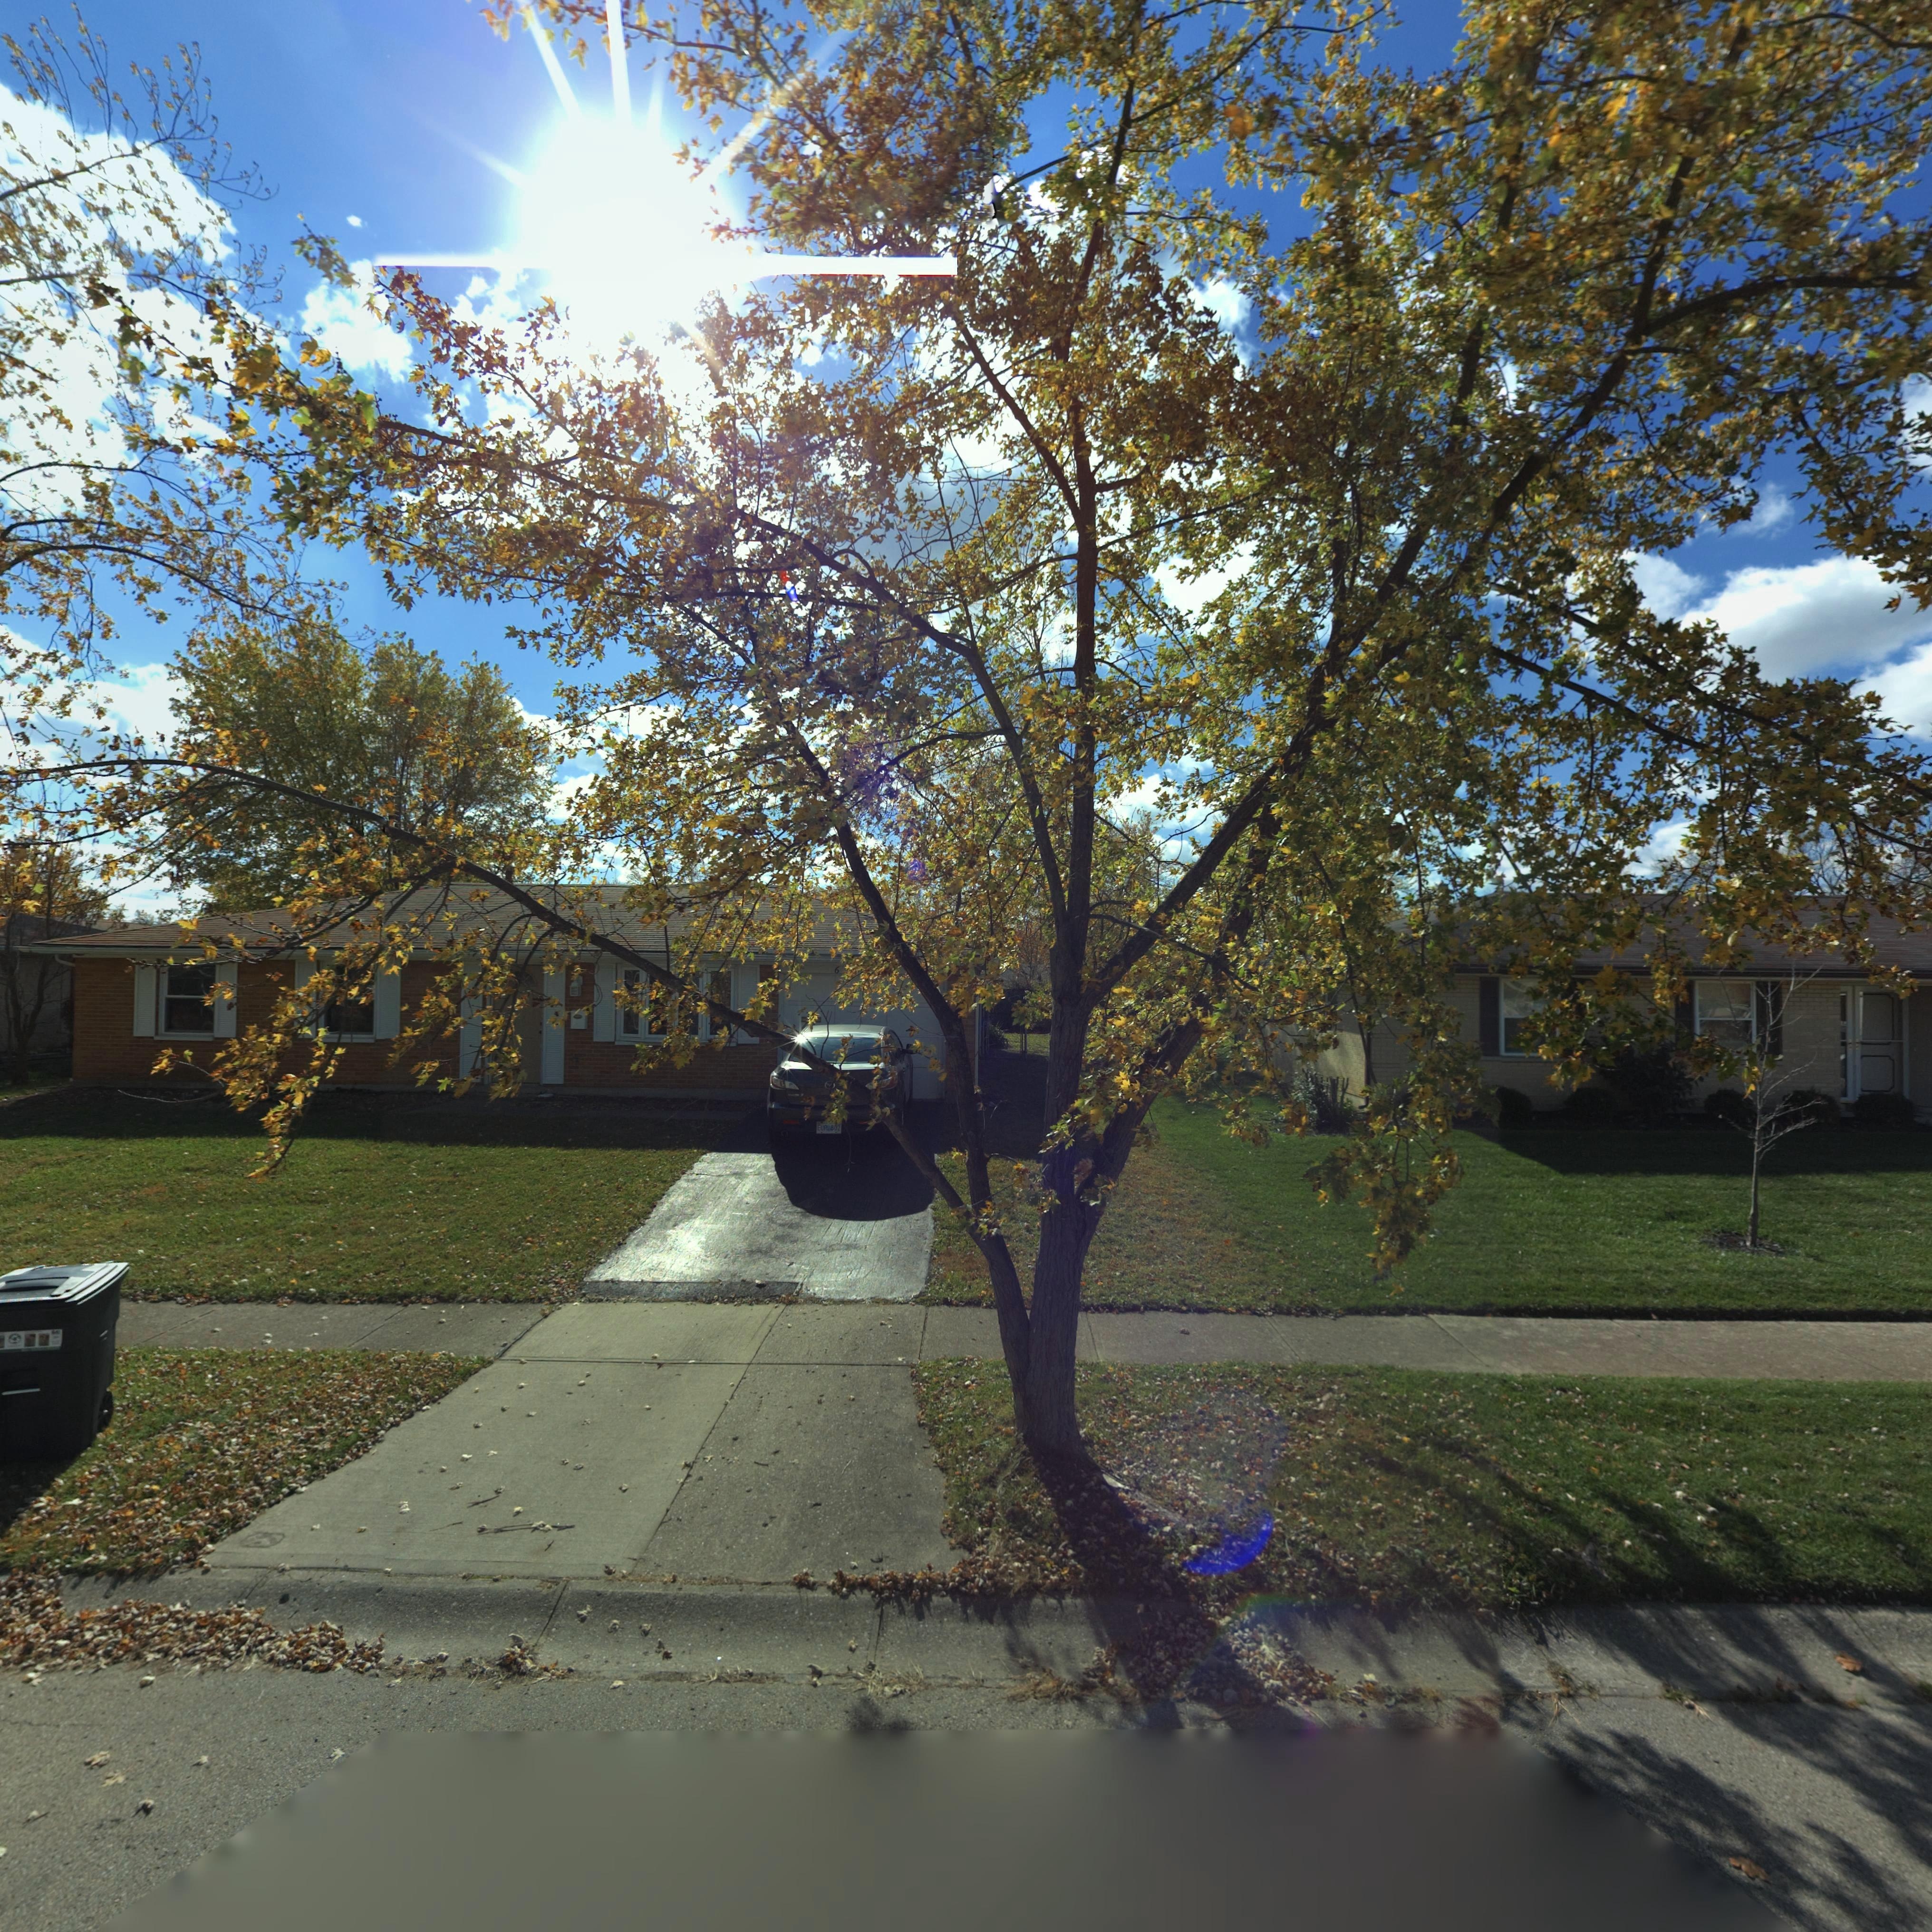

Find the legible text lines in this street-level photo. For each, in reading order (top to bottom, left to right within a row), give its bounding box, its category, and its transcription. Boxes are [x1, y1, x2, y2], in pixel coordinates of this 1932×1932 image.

[834, 966, 840, 974] StreetNumber: 6